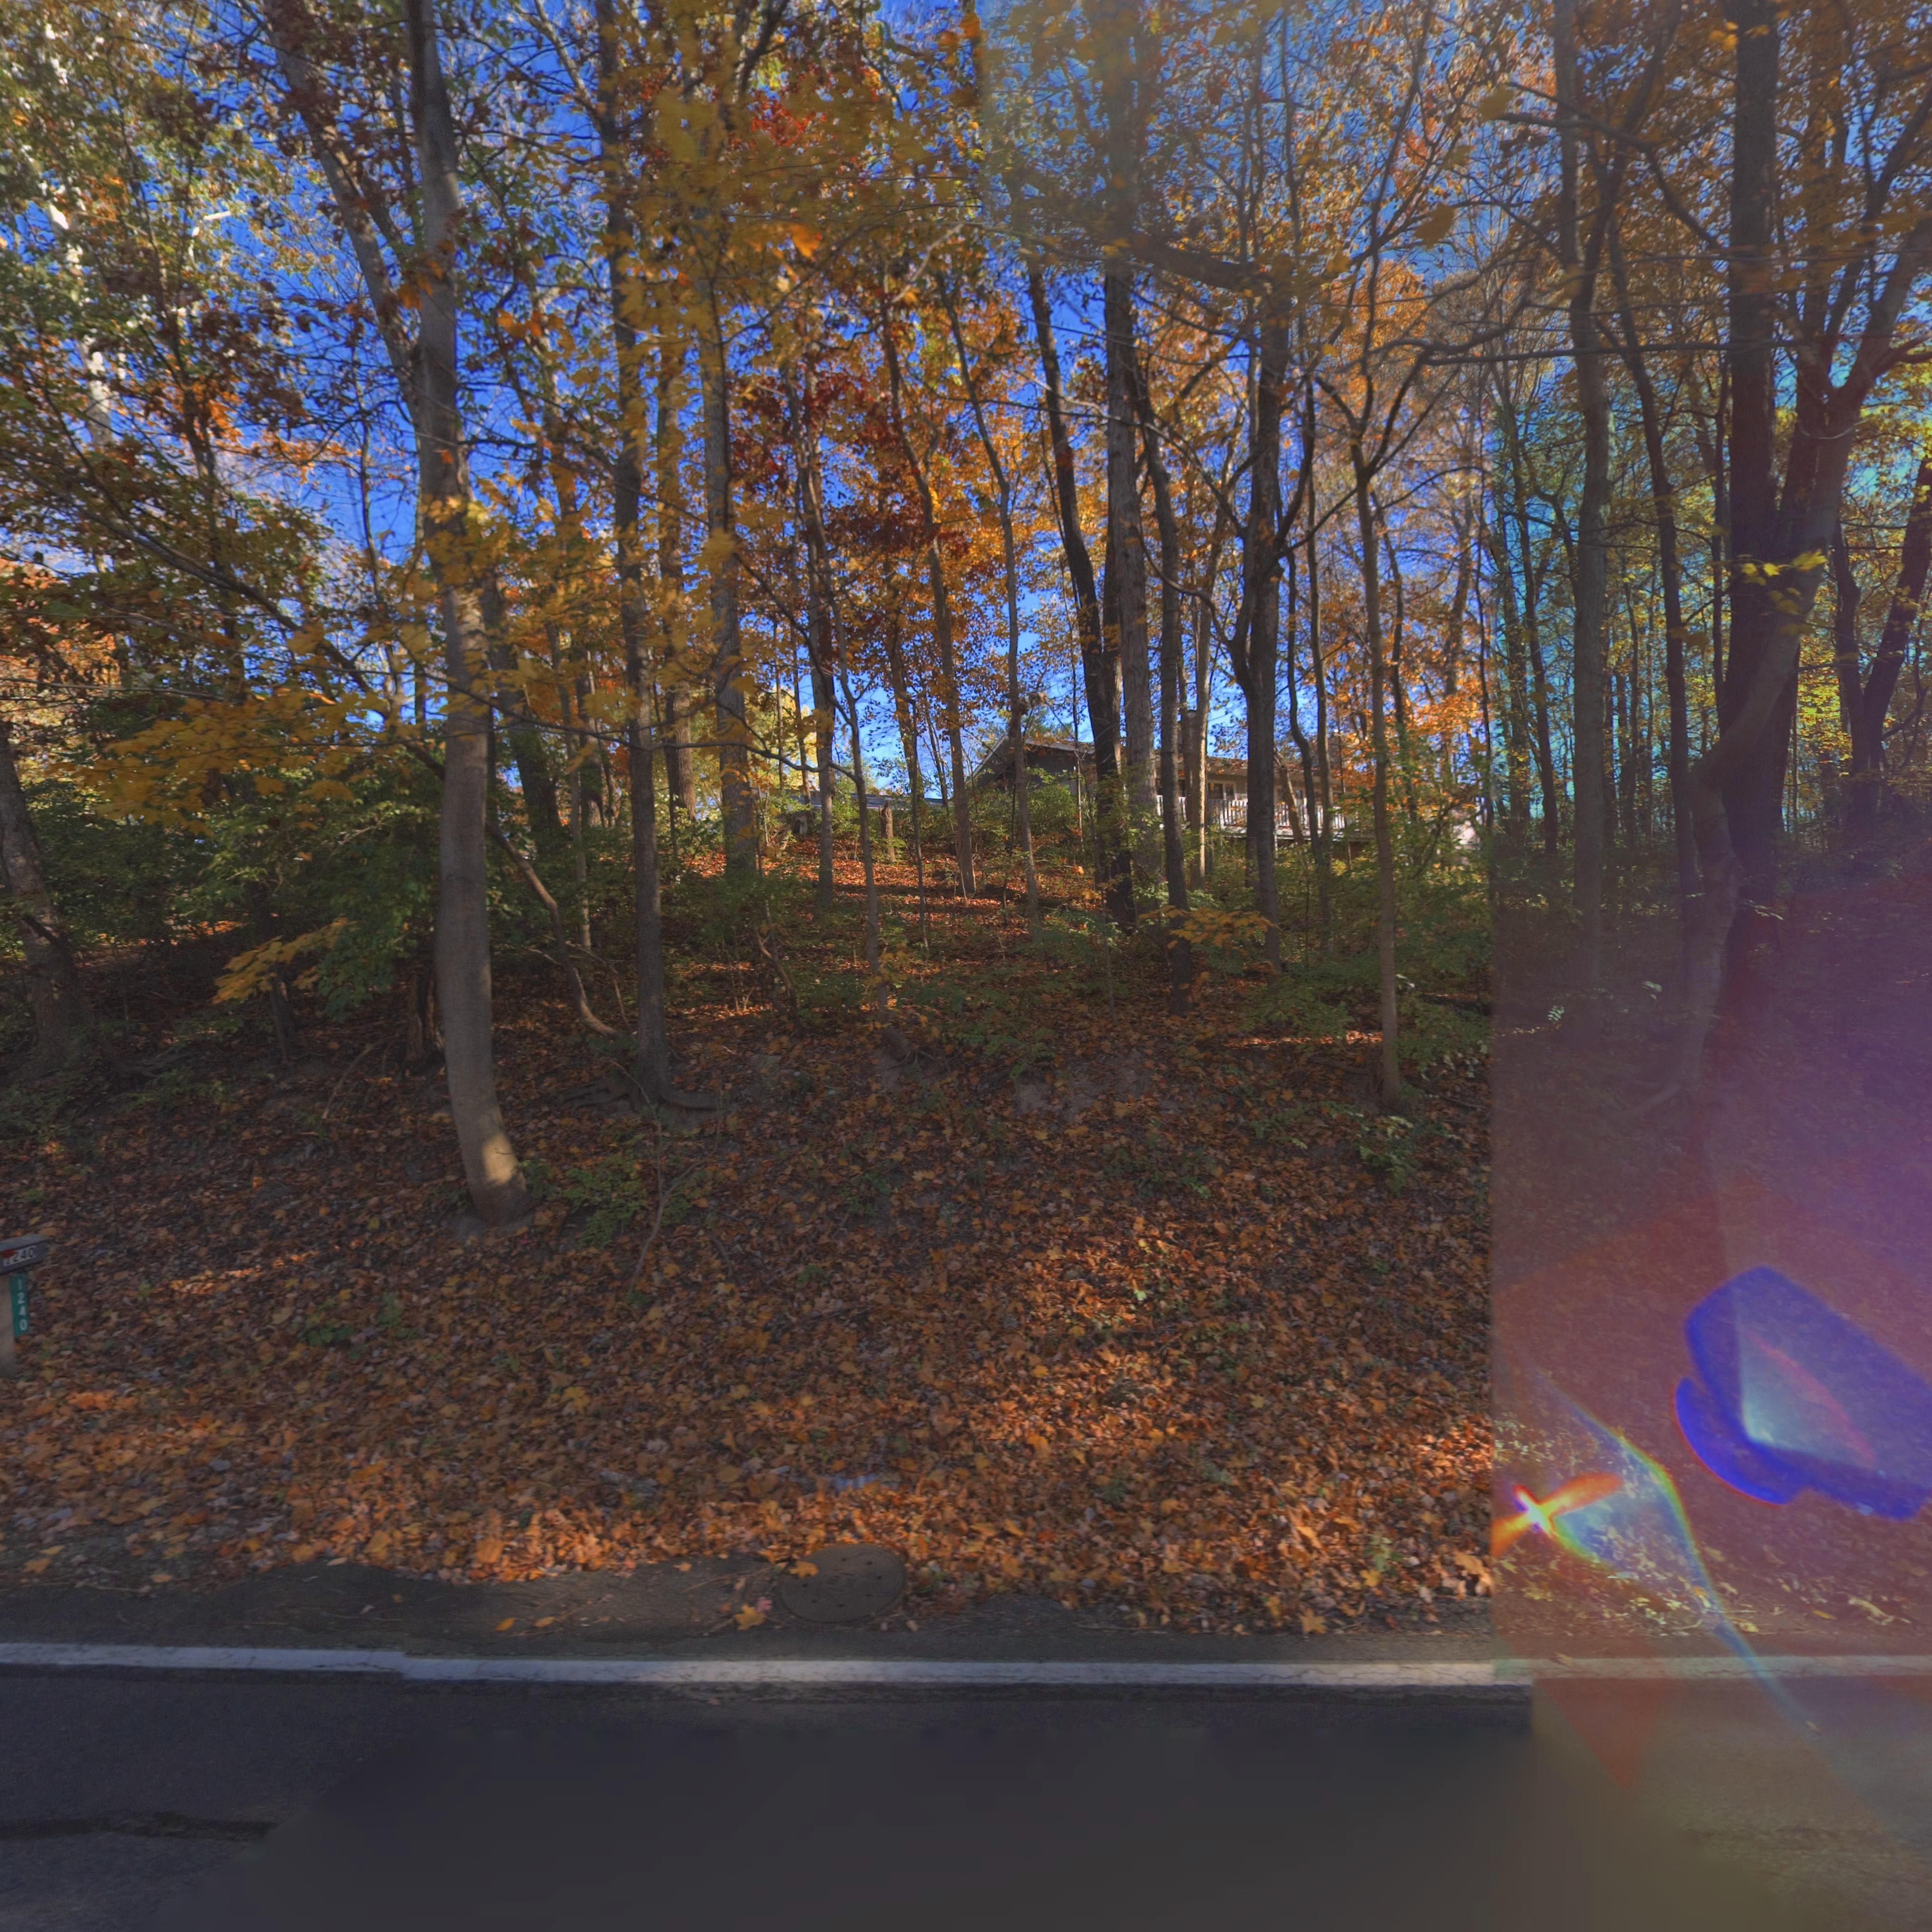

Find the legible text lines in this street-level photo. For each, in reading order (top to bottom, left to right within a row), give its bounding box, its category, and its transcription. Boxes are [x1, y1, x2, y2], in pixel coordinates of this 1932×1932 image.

[5, 1246, 37, 1266] StreetNumber: 1240
[15, 1277, 29, 1334] StreetNumber: 1240